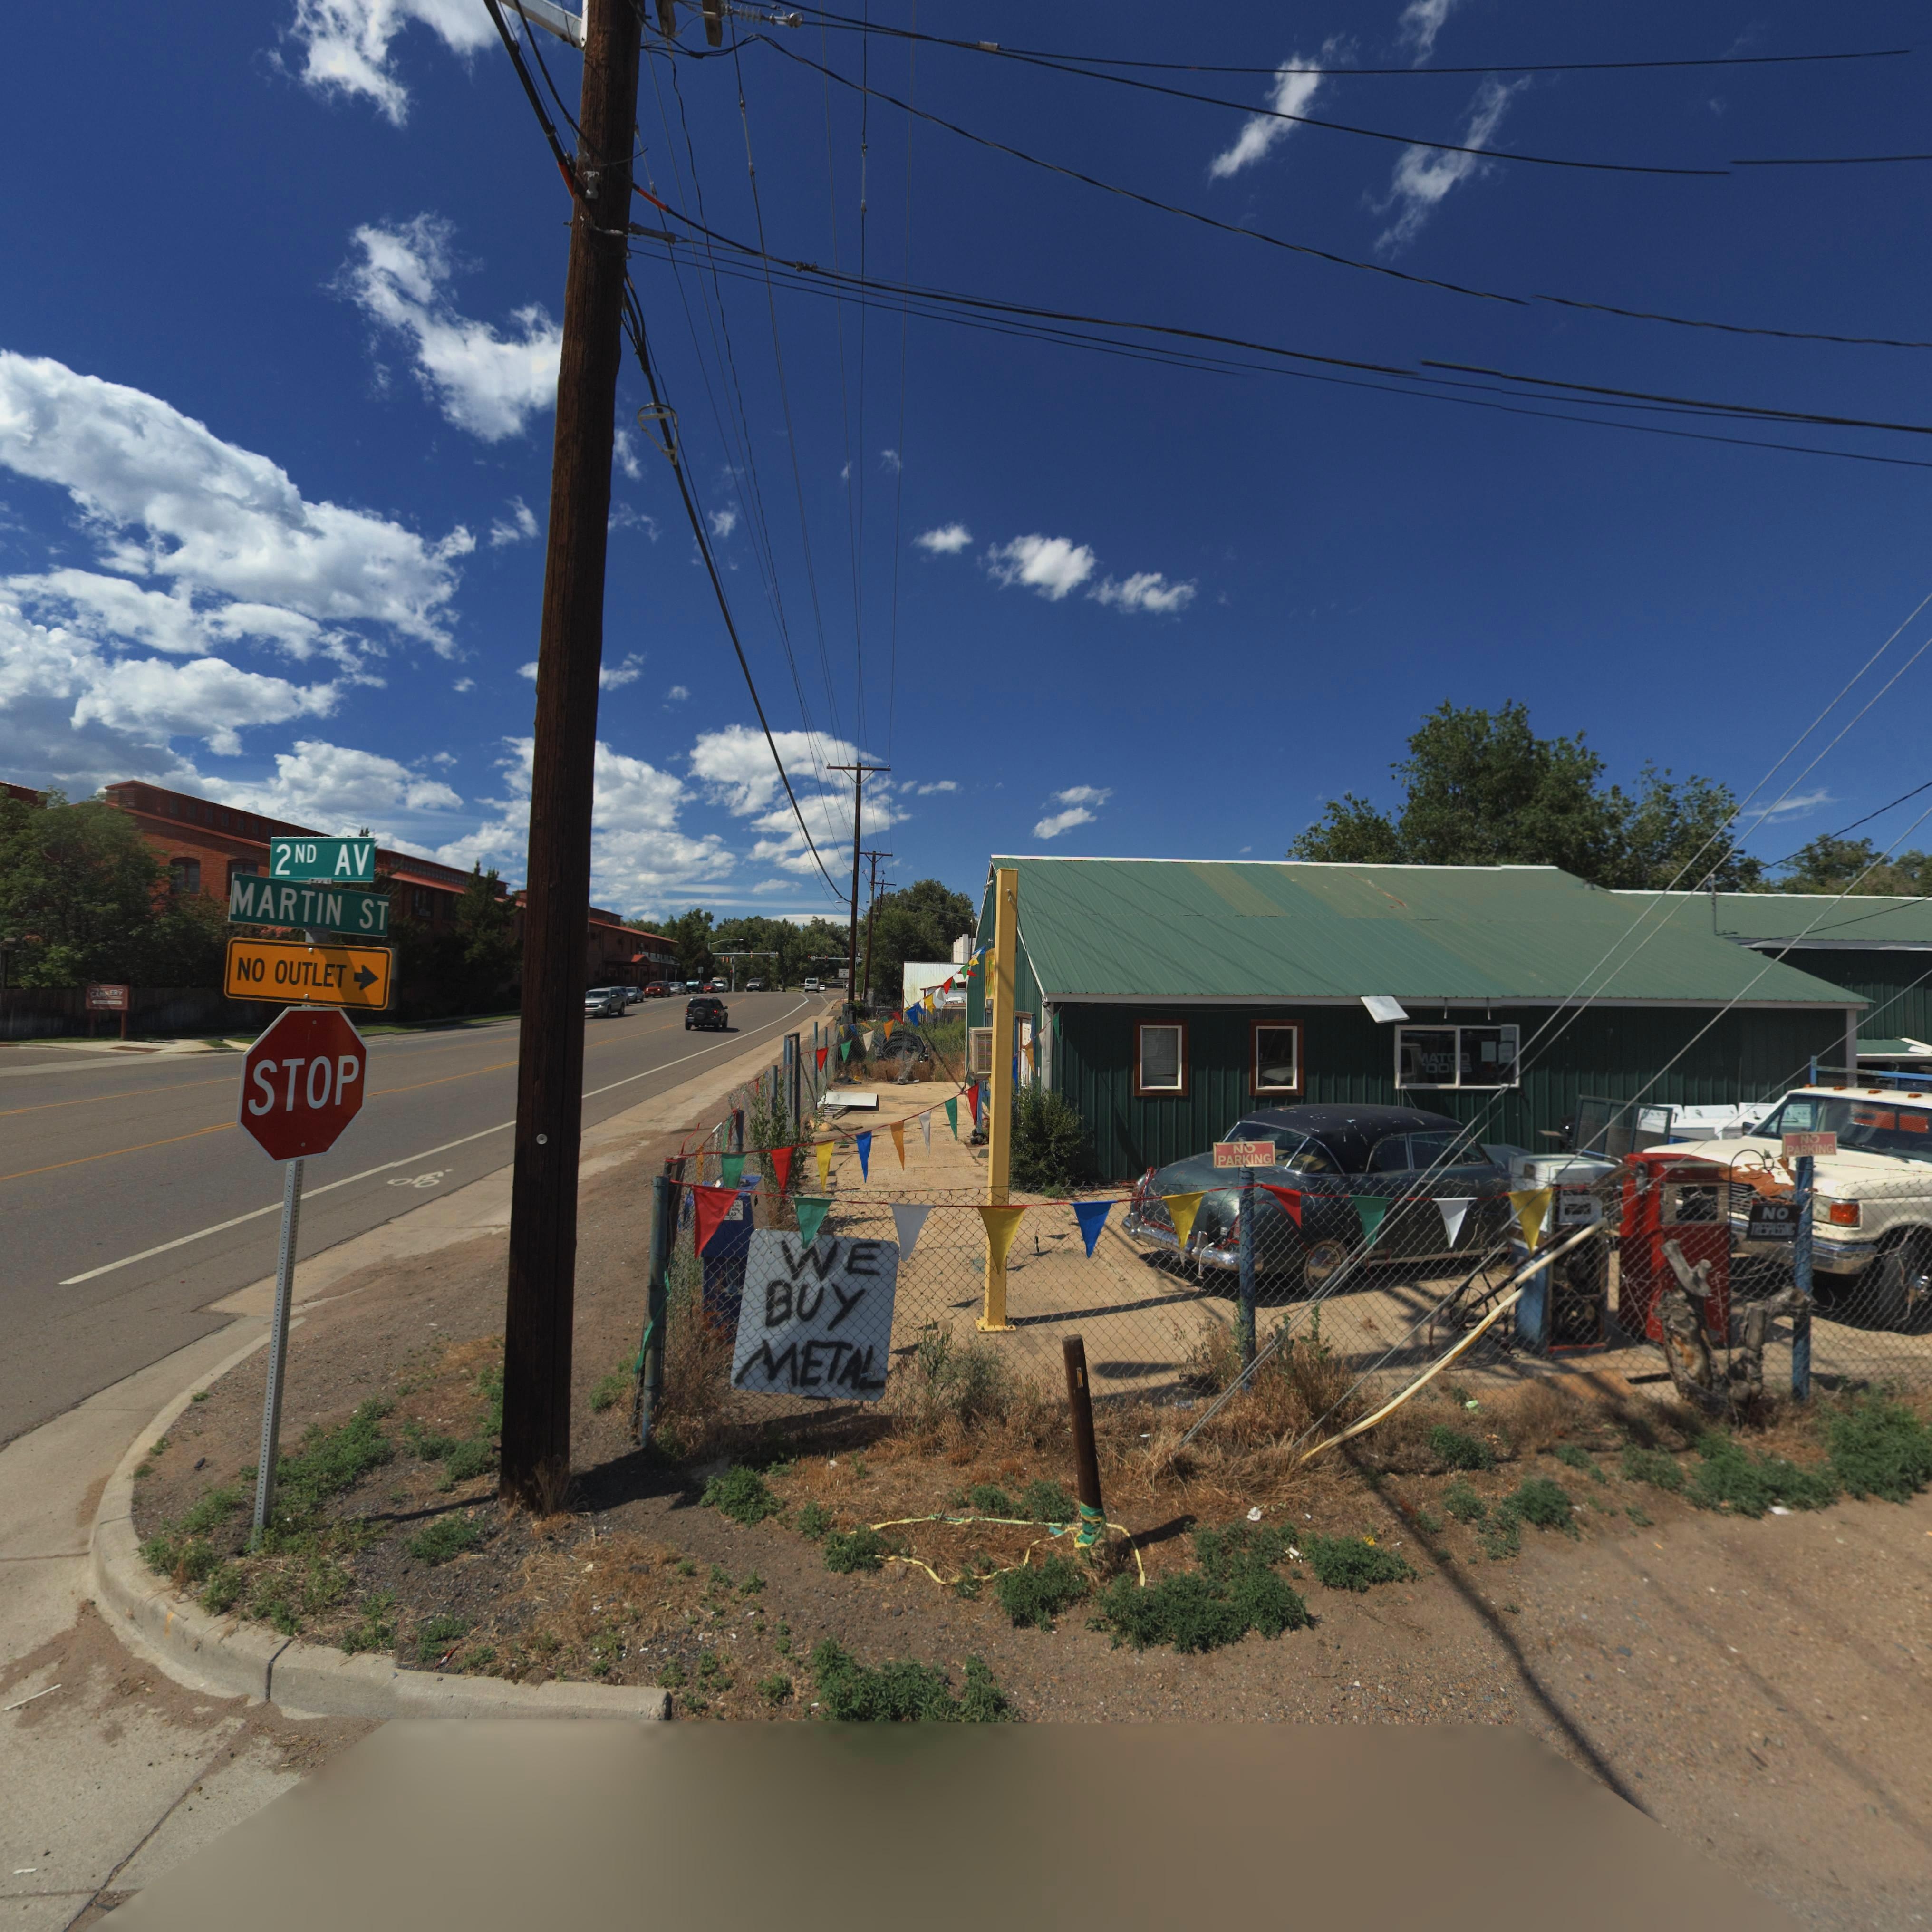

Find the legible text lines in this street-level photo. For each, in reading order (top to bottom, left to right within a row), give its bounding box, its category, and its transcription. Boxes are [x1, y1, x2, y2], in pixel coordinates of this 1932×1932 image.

[274, 843, 370, 876] StreetName: 2ND AV
[231, 879, 389, 930] StreetName: MARTIN ST